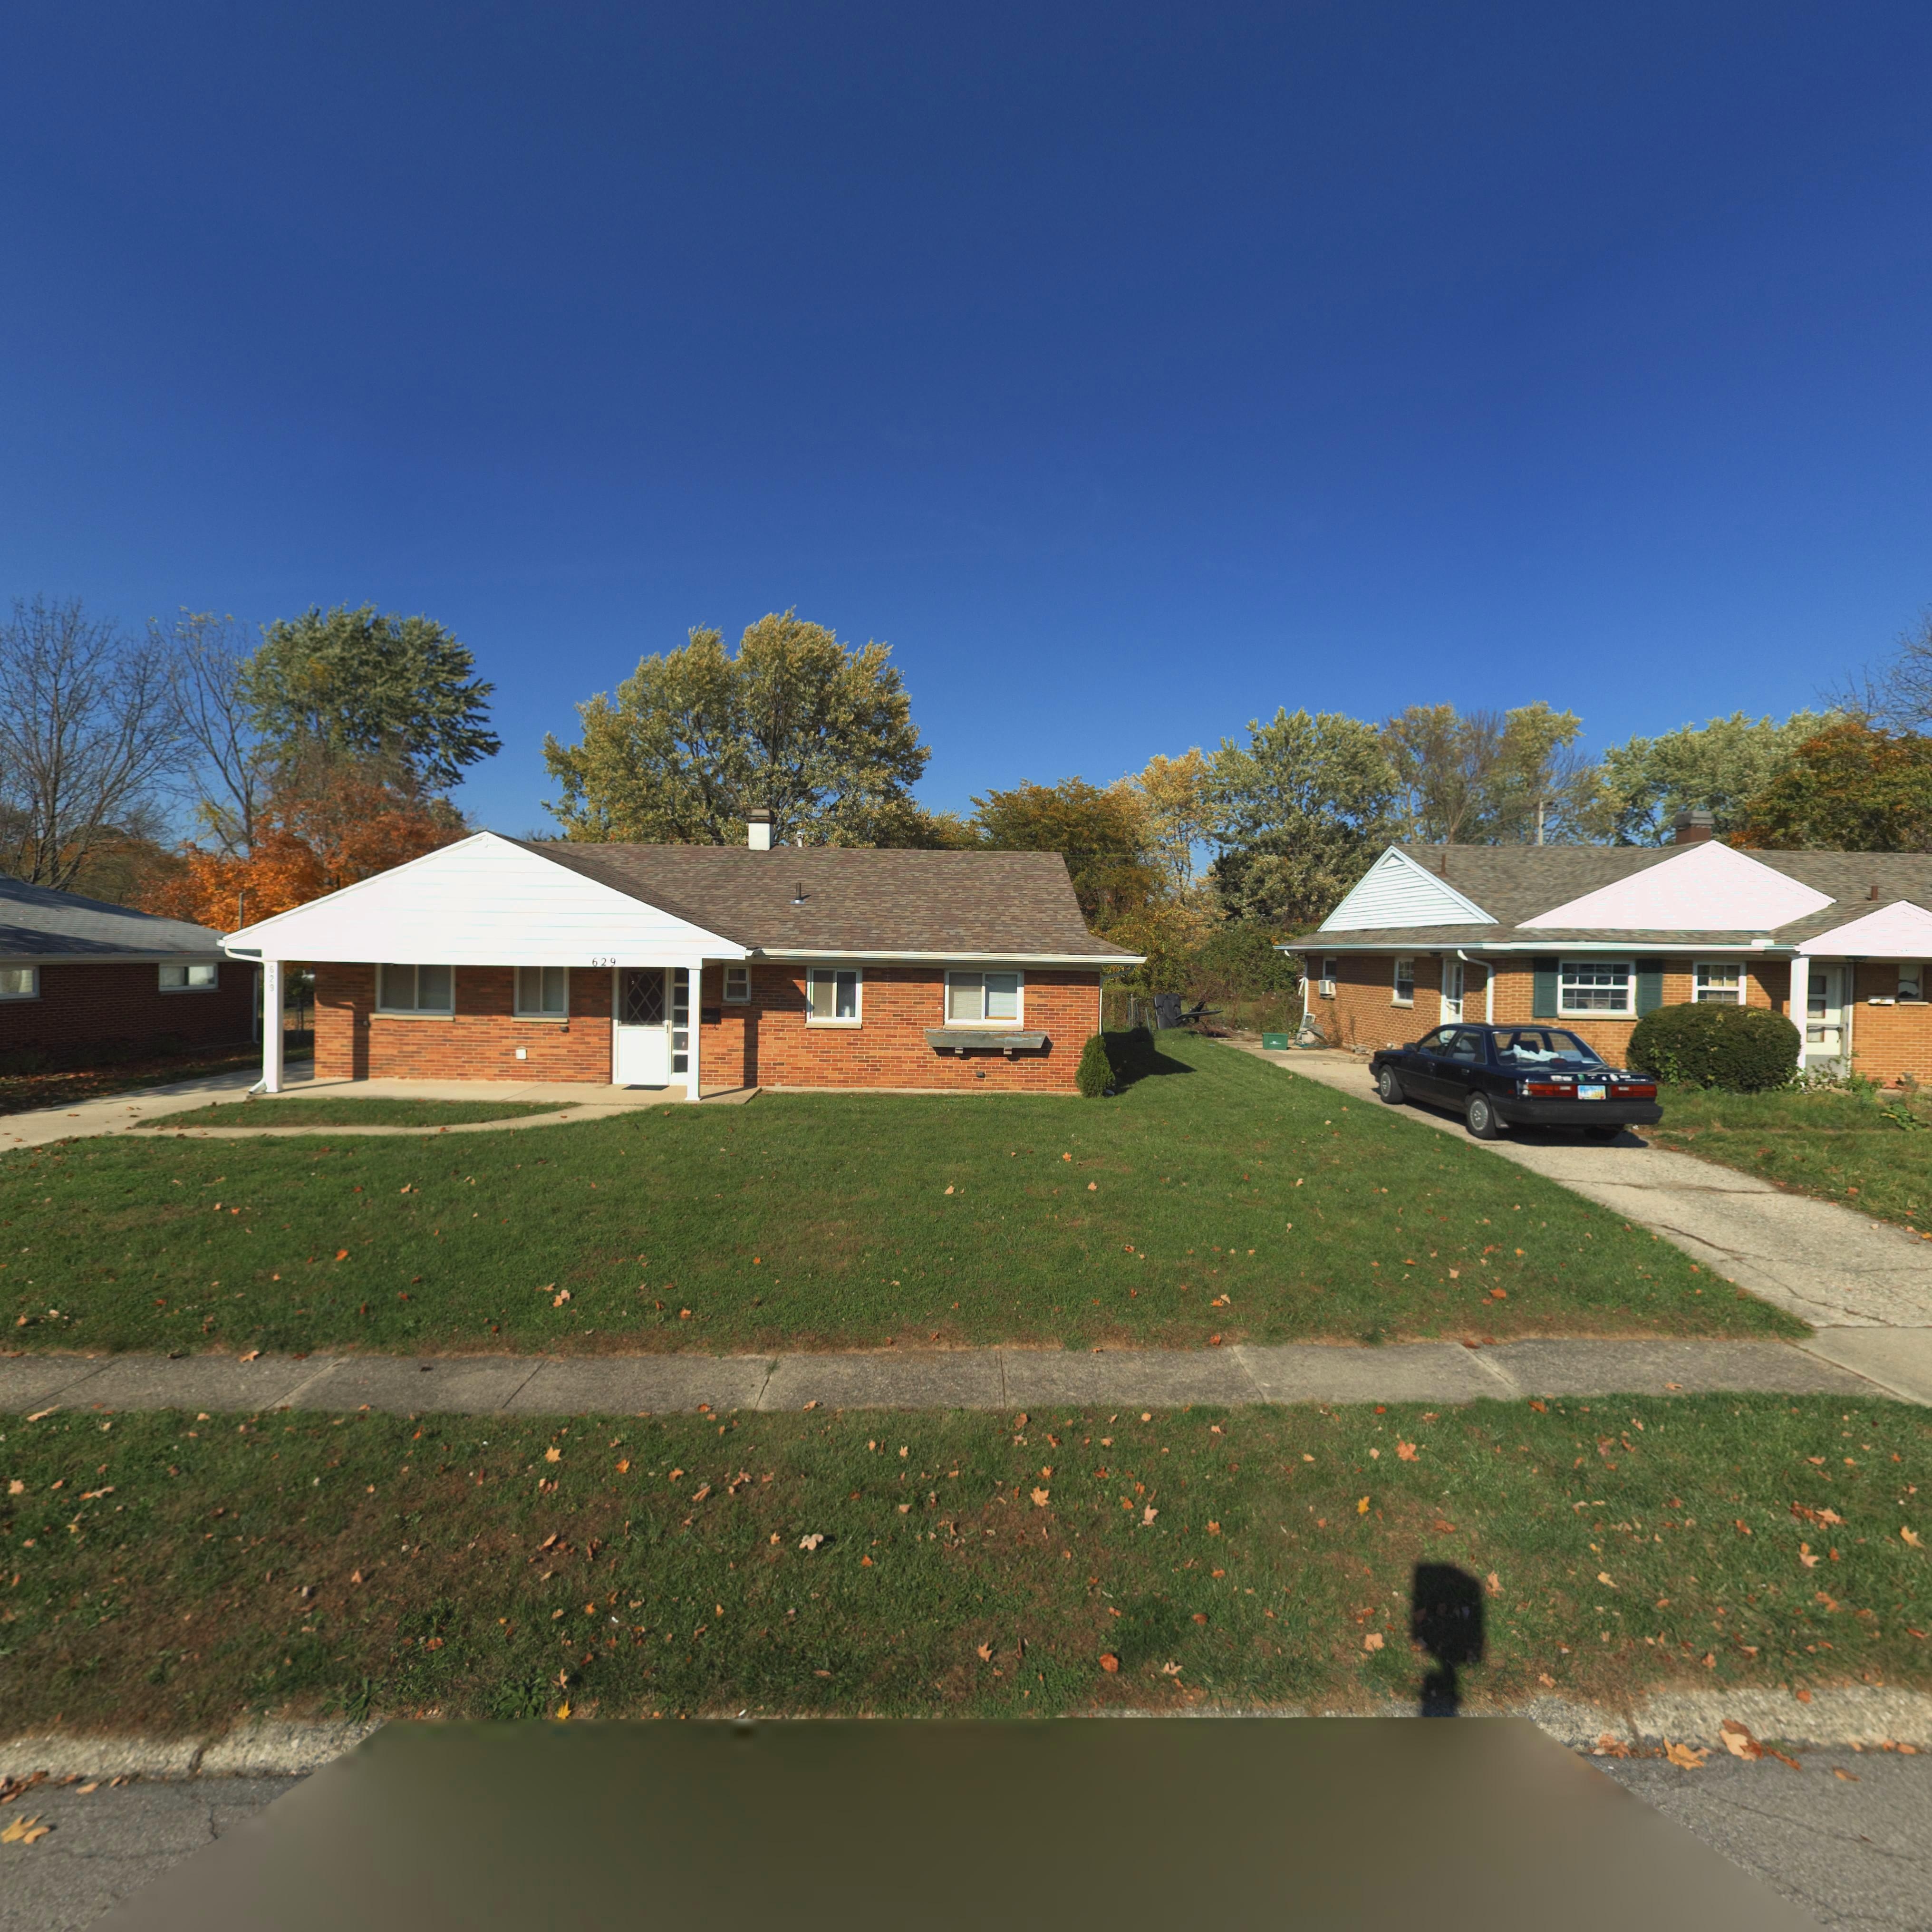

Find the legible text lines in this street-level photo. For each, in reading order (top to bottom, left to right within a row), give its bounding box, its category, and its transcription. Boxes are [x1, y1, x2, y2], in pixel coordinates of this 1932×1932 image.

[591, 957, 617, 967] StreetNumber: 629
[269, 965, 275, 992] StreetNumber: 629
[1576, 1073, 1586, 1083] None: m
[1579, 1088, 1591, 1097] None: F*C